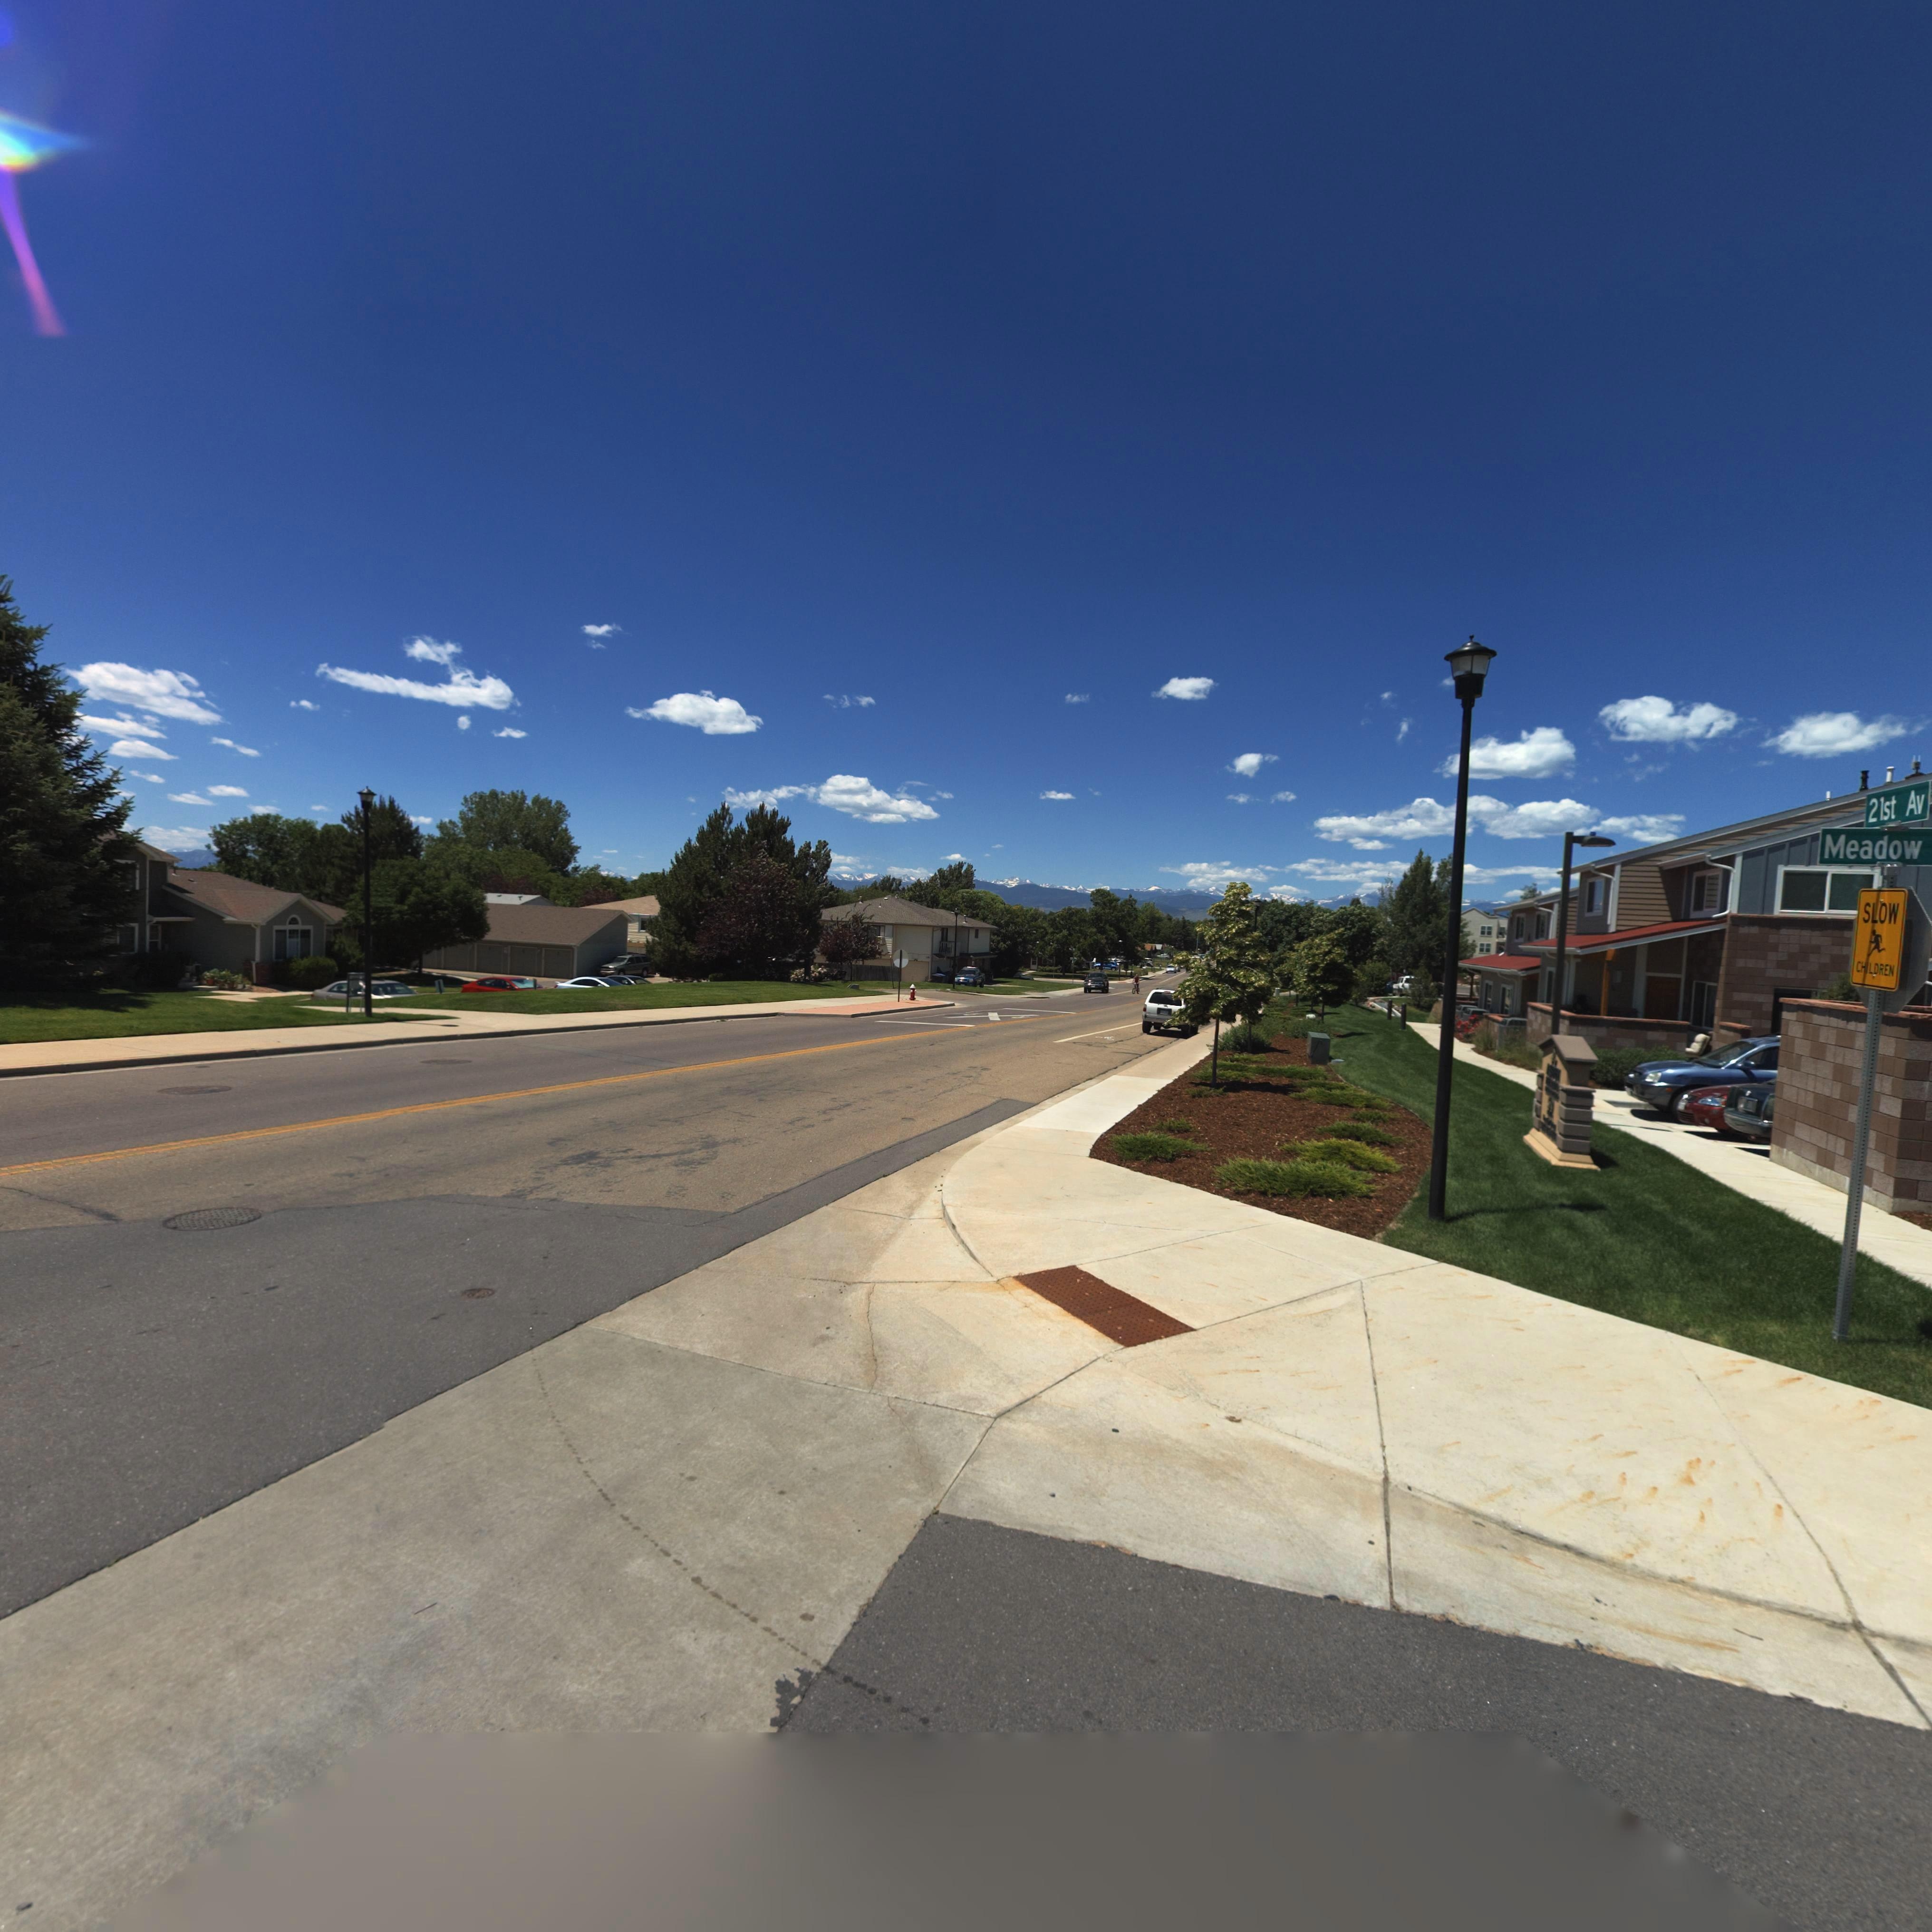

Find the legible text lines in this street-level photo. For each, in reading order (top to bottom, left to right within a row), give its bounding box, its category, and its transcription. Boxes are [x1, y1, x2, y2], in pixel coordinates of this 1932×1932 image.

[1868, 788, 1926, 823] StreetName: 21st Av
[1823, 833, 1924, 859] StreetName: Meadow
[1545, 1063, 1561, 1082] BusinessName: ASPEN